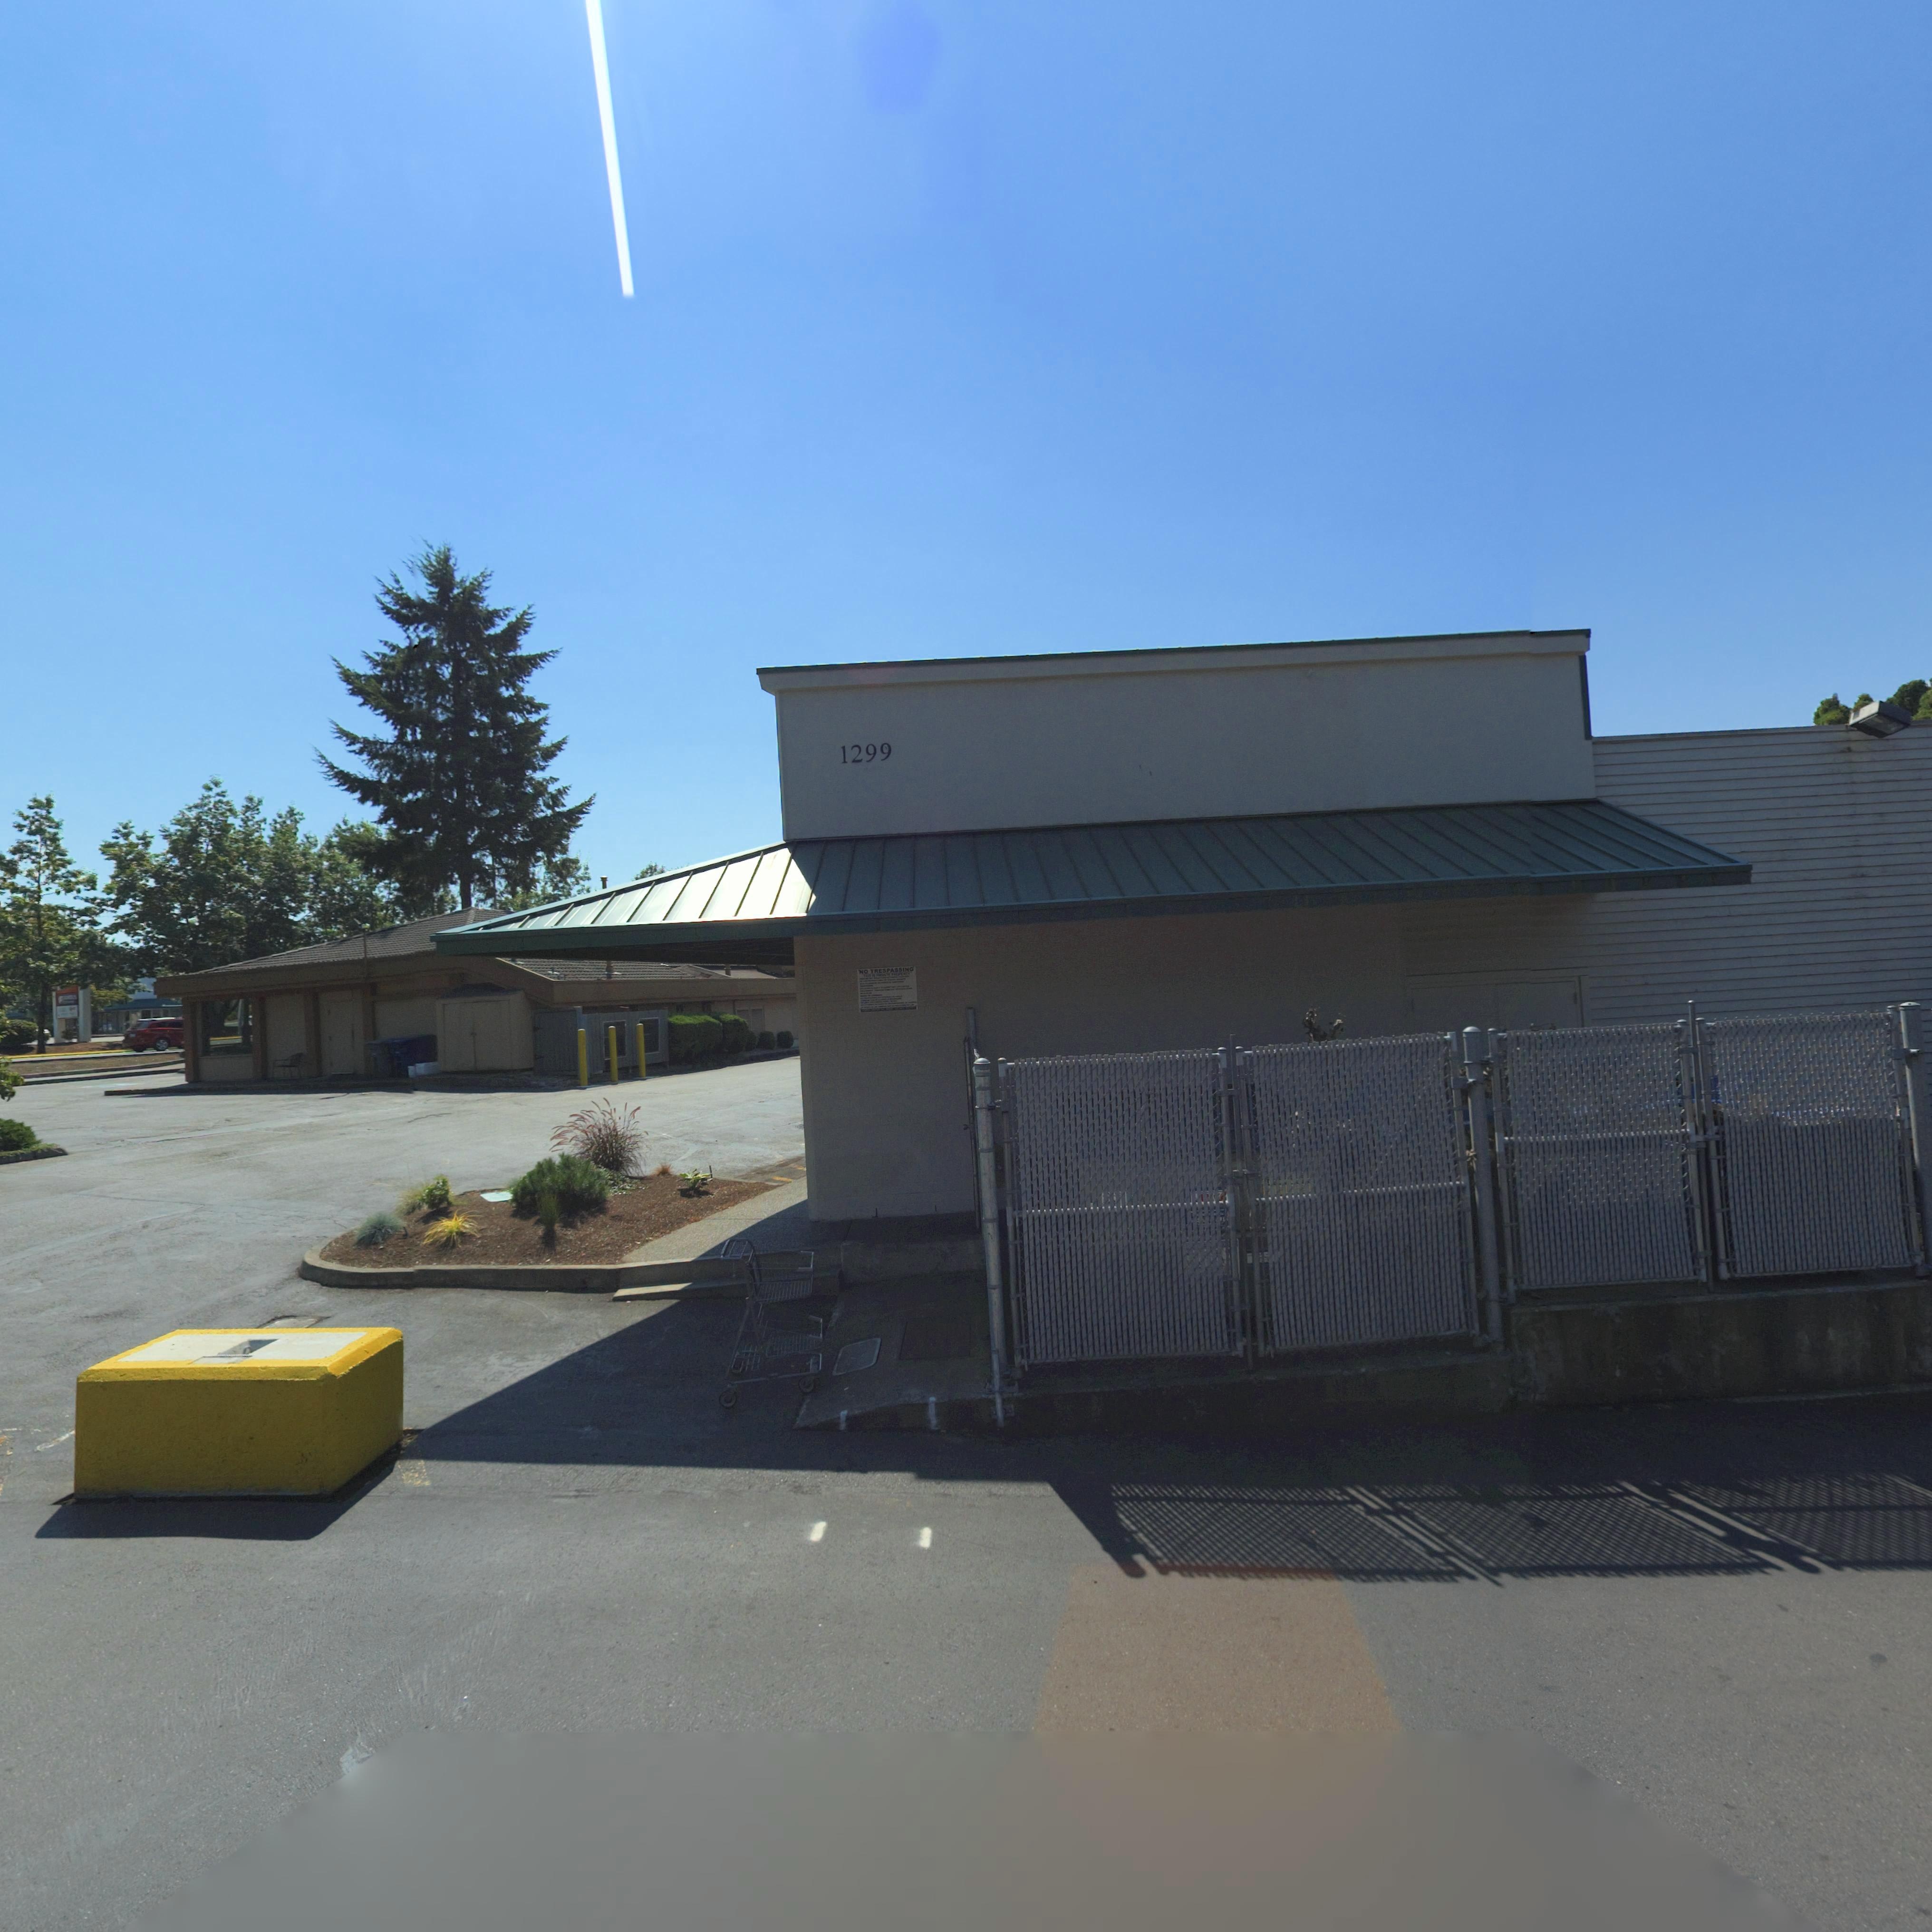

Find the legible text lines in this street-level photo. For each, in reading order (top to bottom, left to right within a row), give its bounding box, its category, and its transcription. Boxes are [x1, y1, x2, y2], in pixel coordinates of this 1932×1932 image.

[841, 742, 892, 763] StreetNumber: 1299